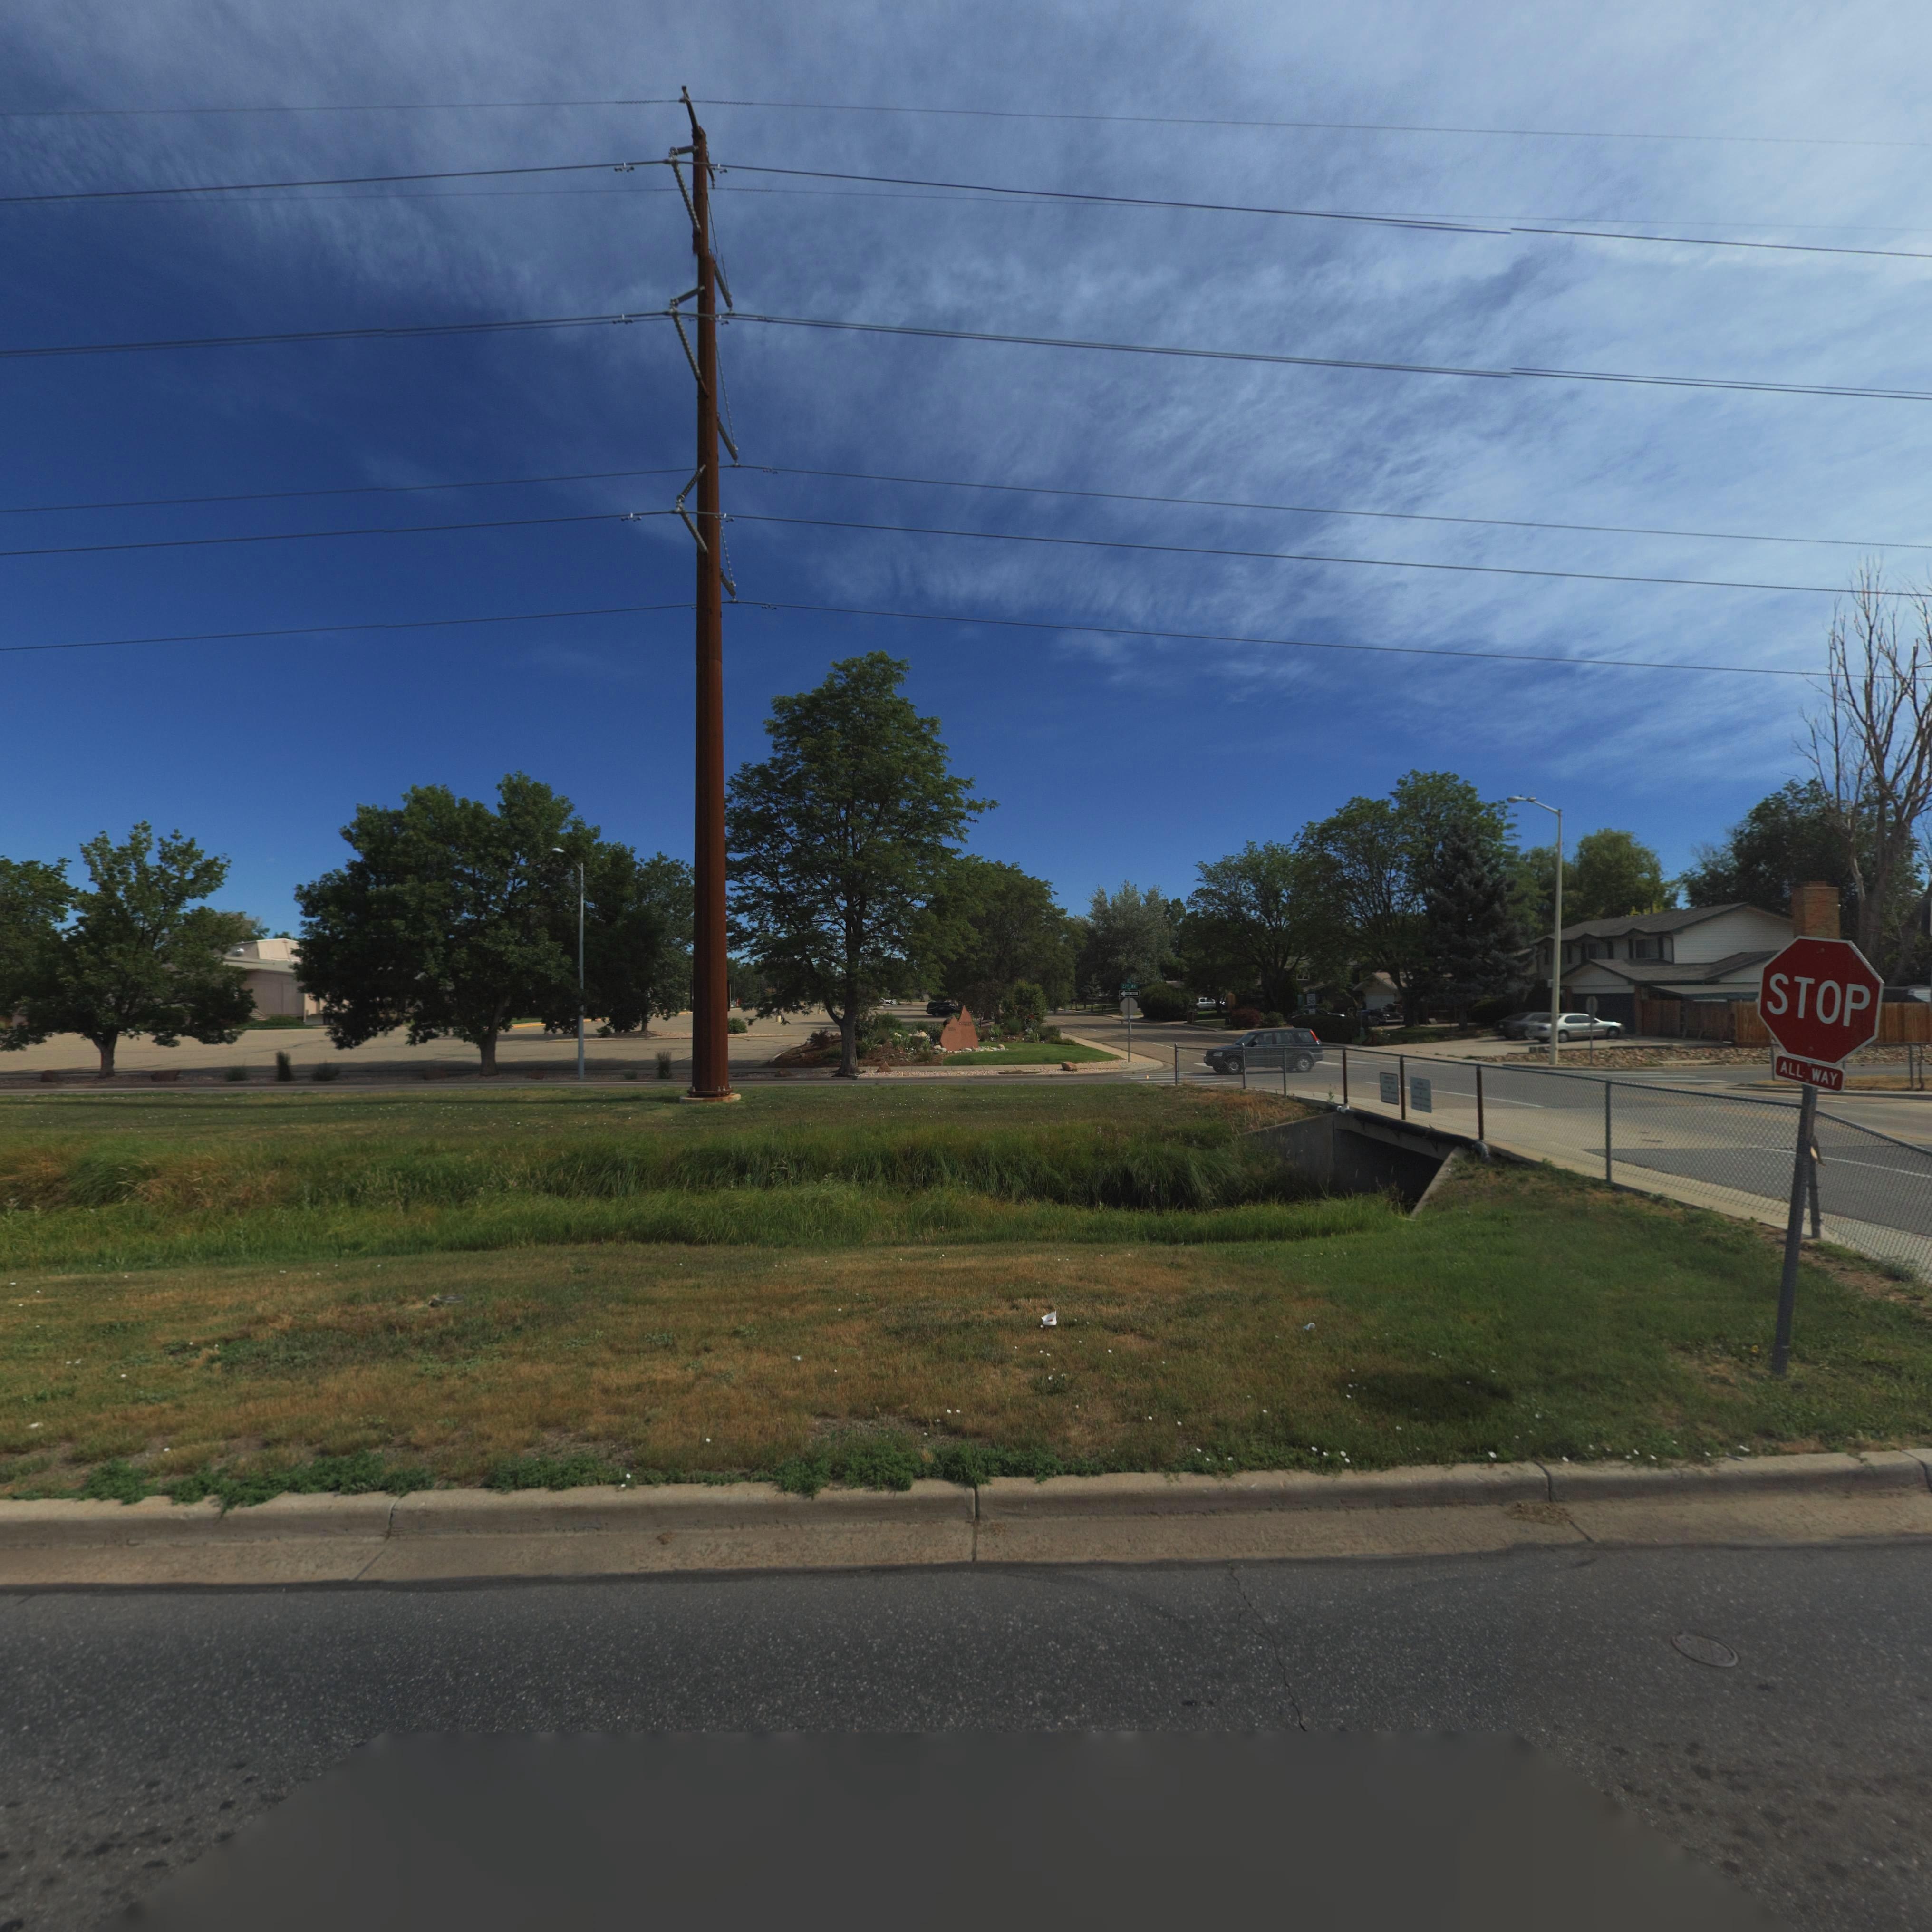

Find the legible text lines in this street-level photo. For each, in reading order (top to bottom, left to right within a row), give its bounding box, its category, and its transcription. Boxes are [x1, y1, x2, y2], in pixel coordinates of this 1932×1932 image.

[1121, 984, 1136, 988] StreetName: 23** AV